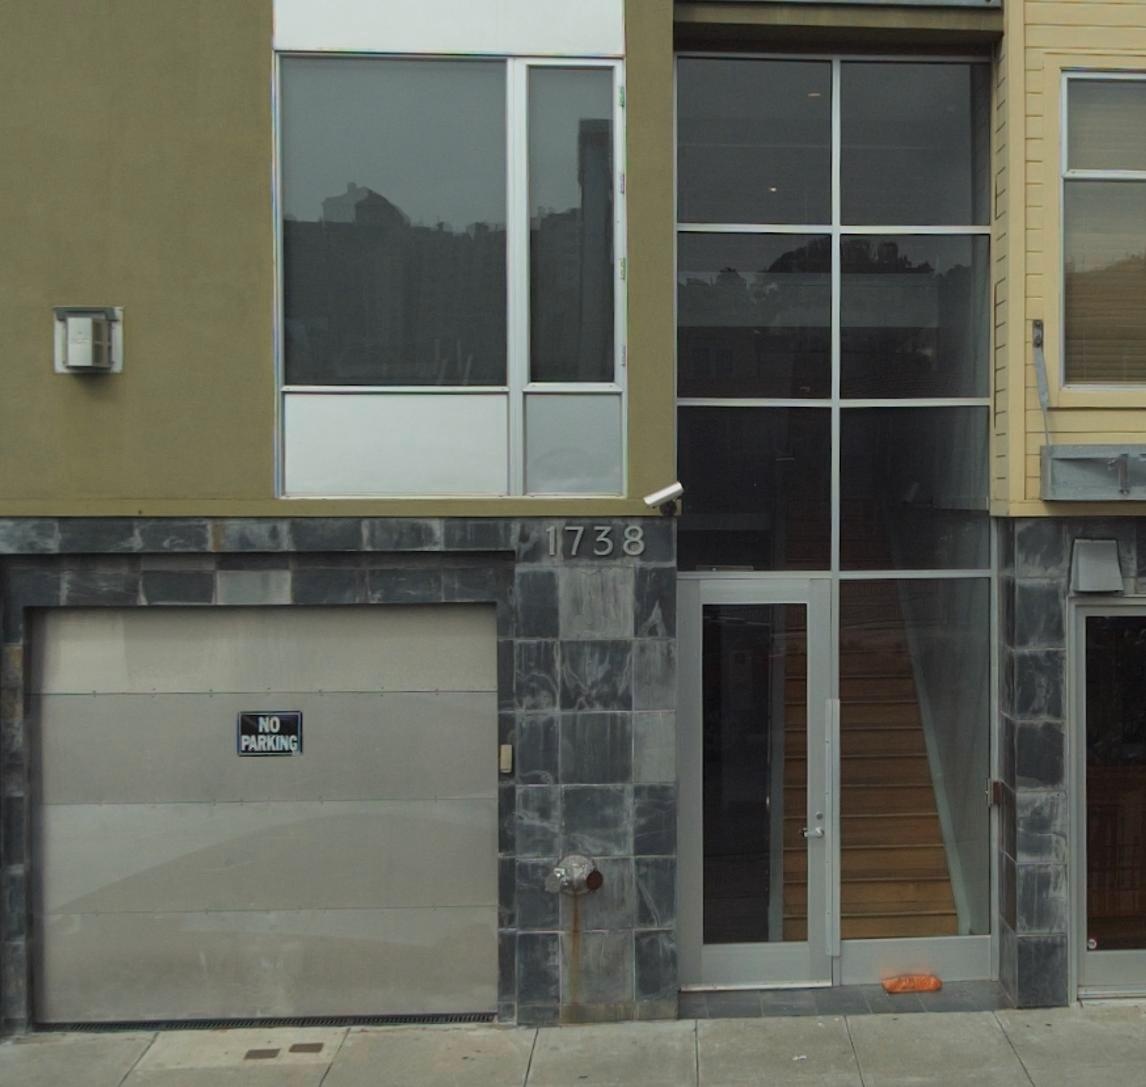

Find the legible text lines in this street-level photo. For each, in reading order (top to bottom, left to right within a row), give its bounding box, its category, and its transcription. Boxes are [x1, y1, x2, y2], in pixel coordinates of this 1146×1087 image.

[545, 523, 647, 557] StreetNumber: 1738
[257, 715, 281, 733] None: NO
[241, 734, 298, 752] None: PARKING